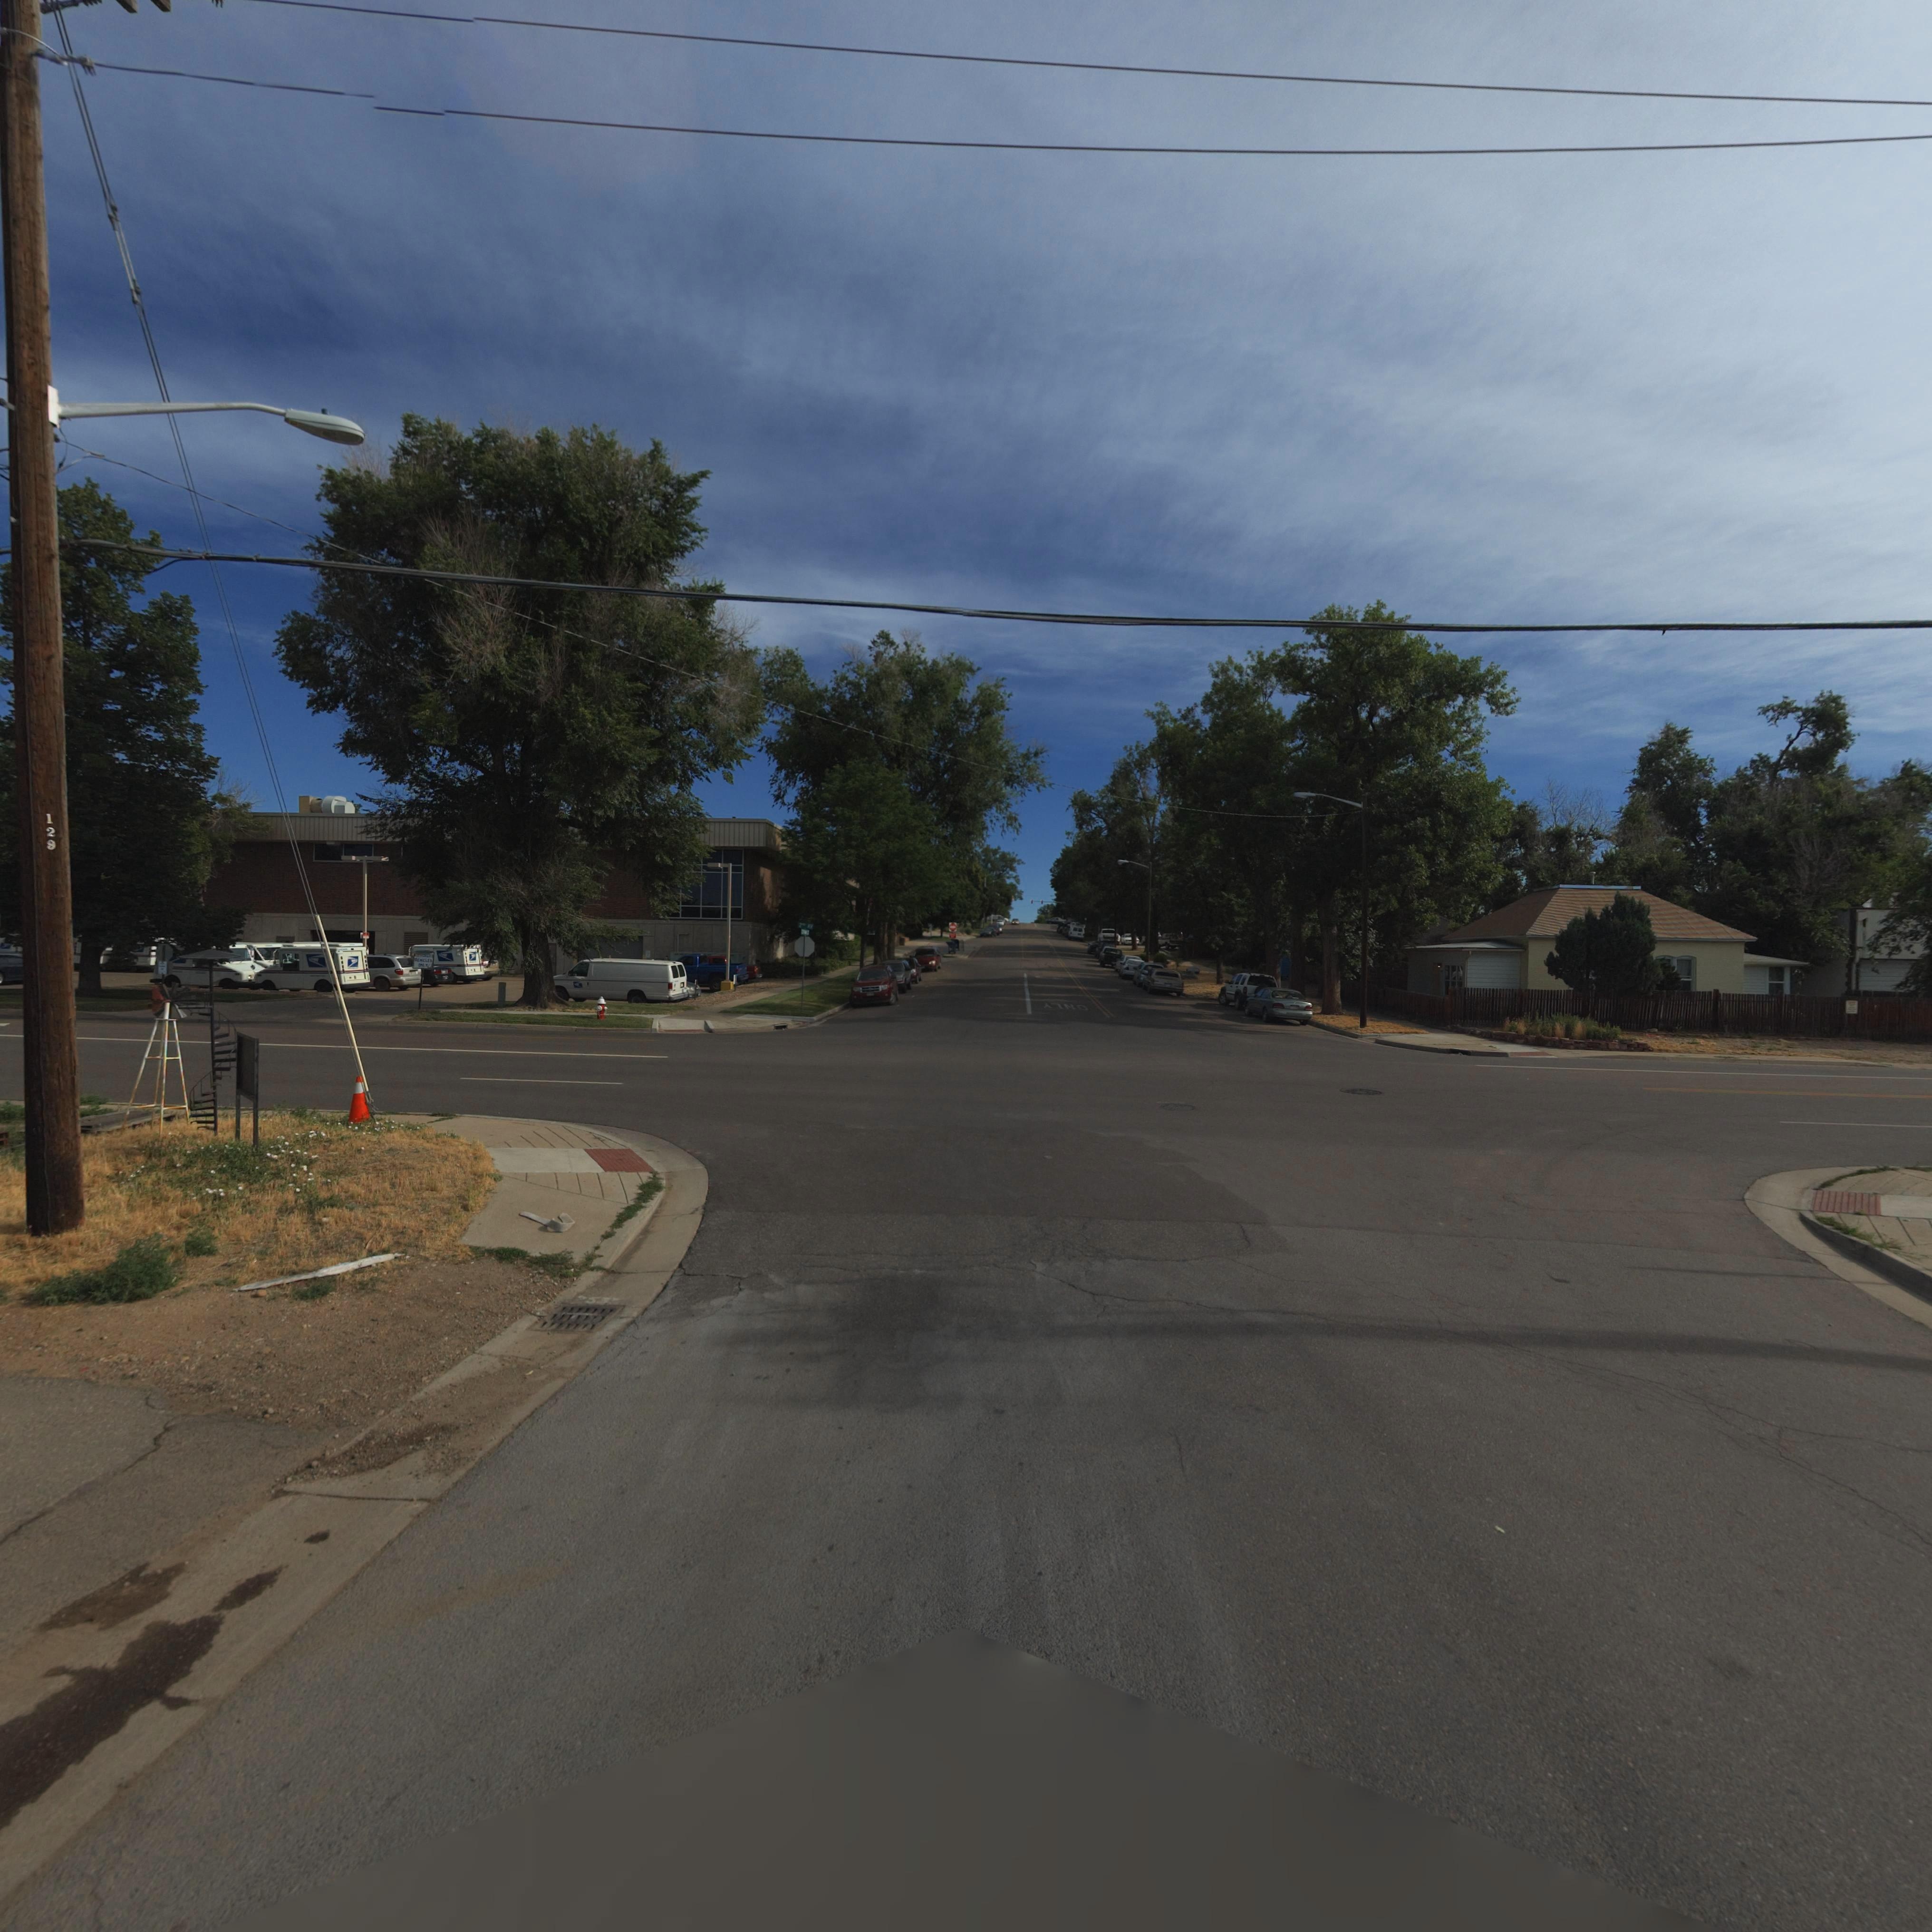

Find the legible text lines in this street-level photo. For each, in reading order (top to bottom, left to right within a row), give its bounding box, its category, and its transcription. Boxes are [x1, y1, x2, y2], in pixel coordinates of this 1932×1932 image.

[44, 812, 56, 850] StreetNumber: 129
[799, 922, 813, 928] StreetName: 2nd AV